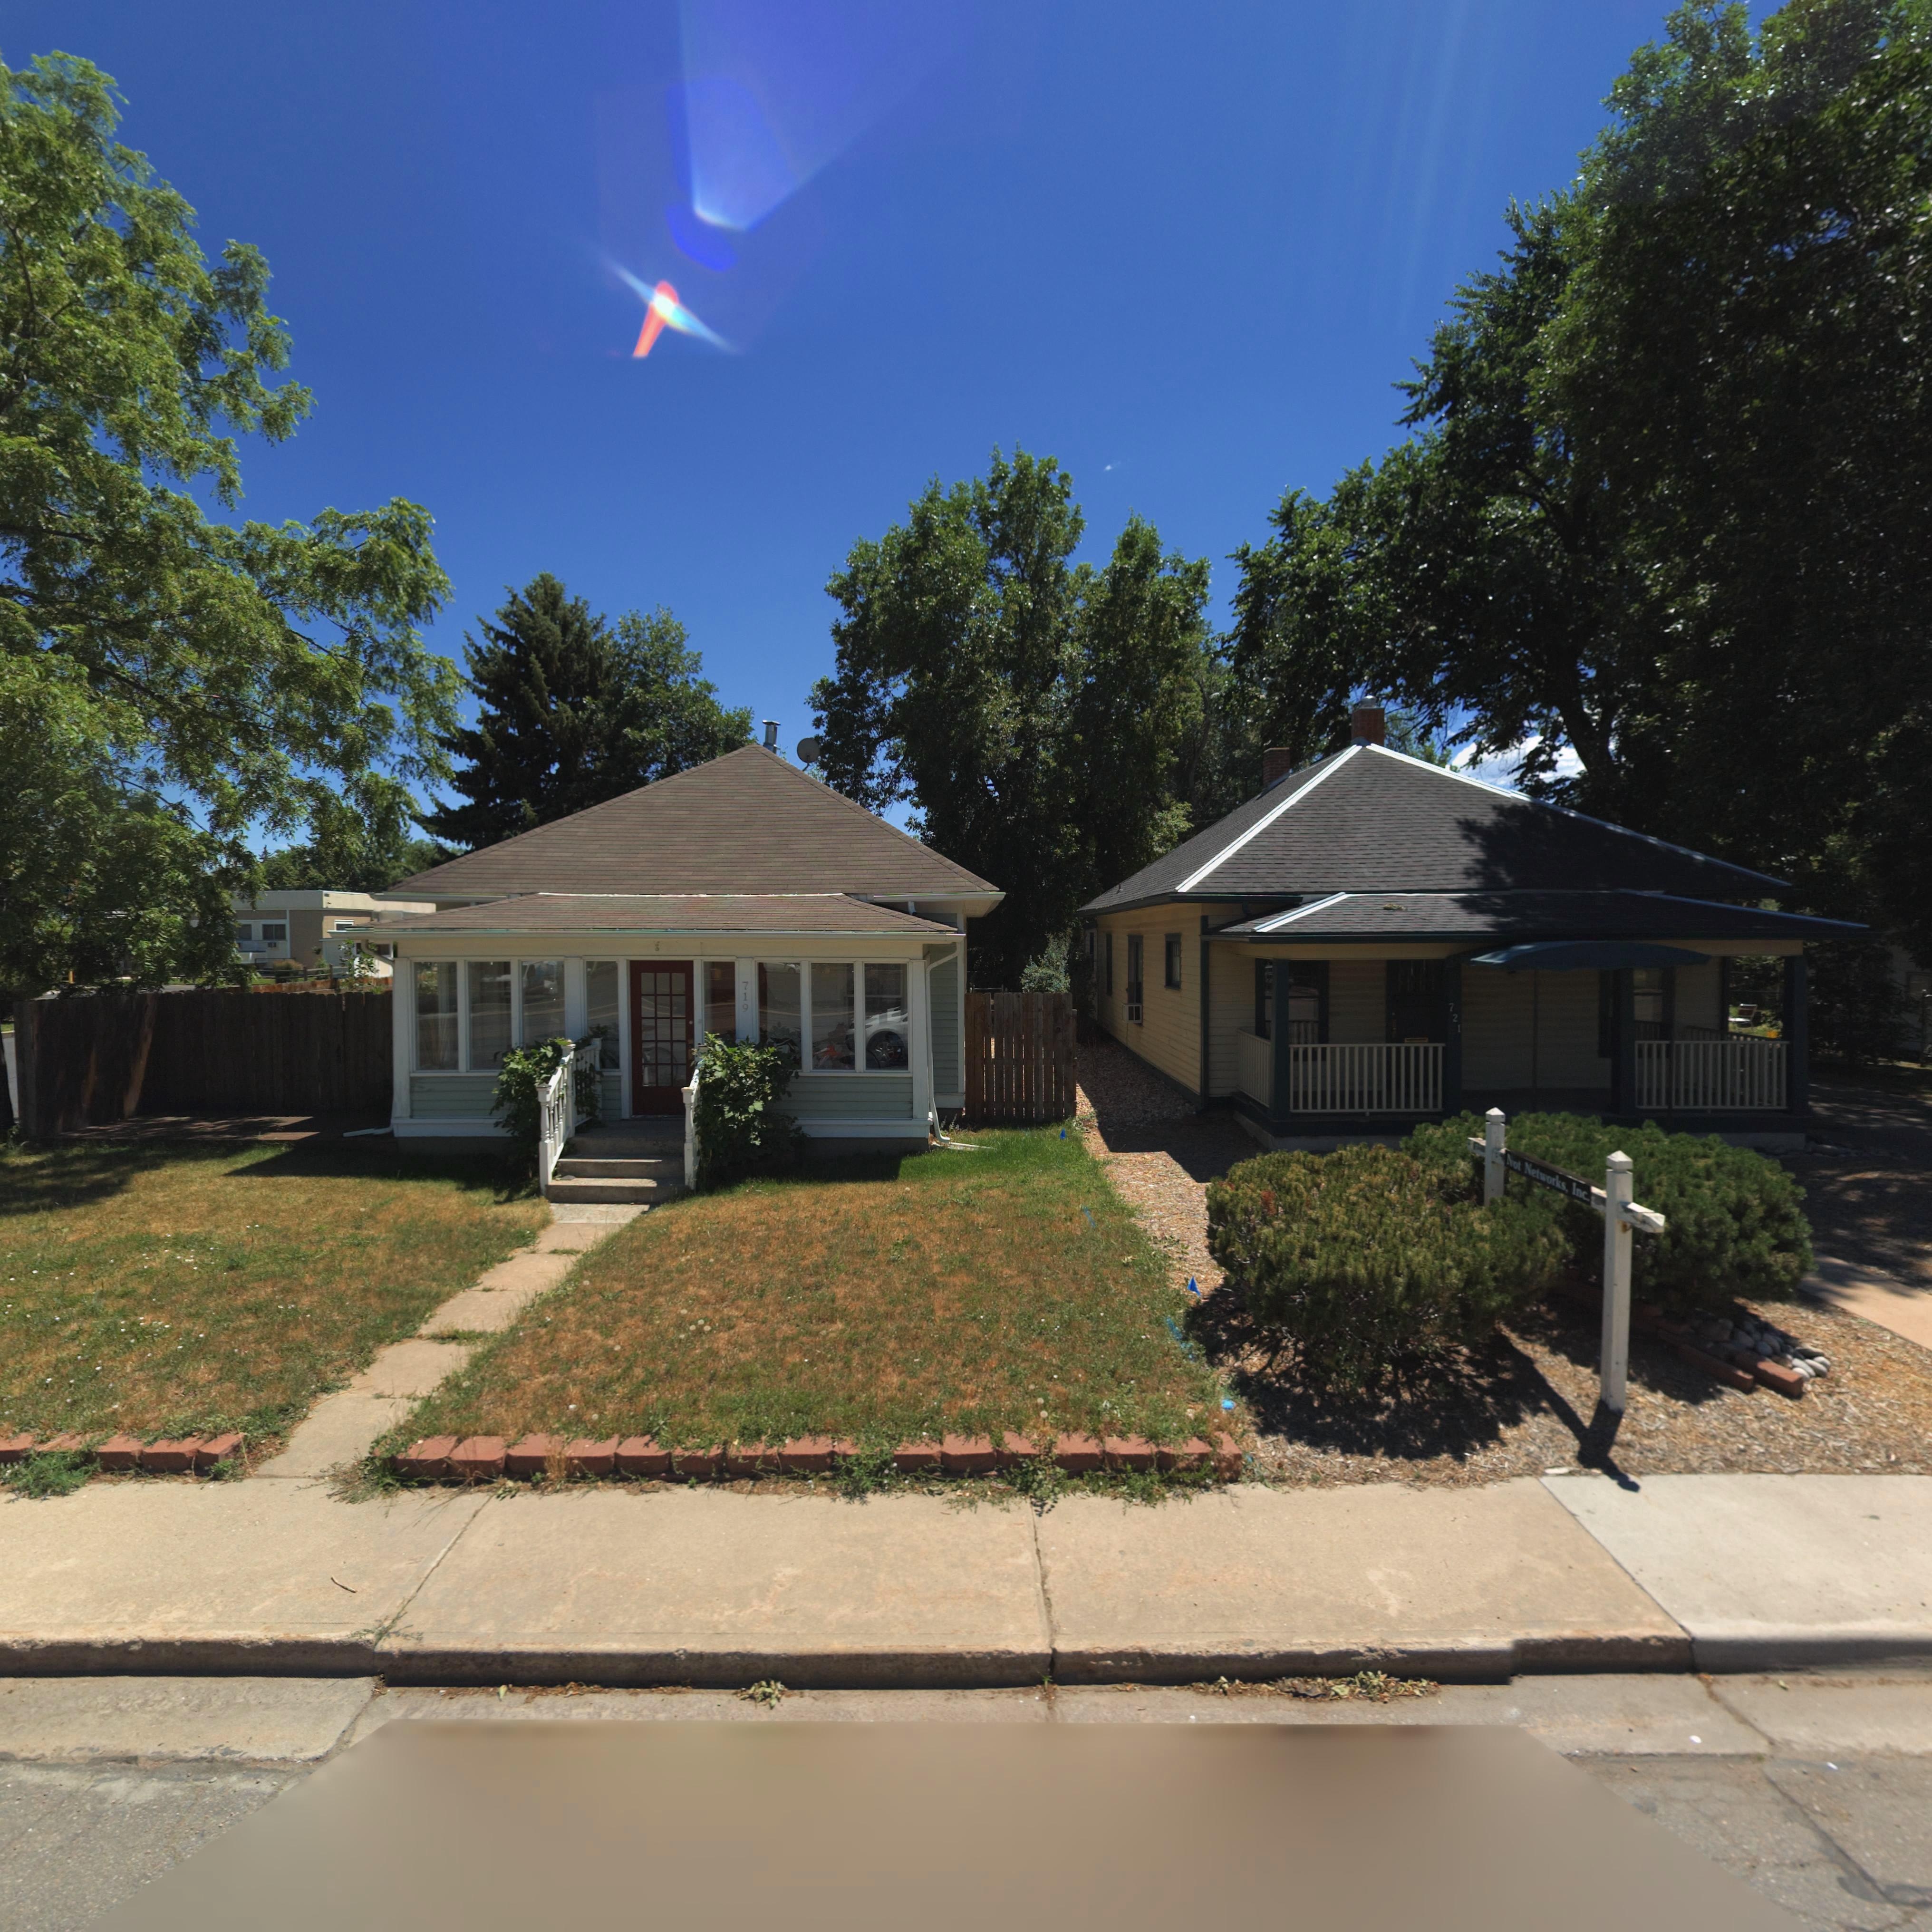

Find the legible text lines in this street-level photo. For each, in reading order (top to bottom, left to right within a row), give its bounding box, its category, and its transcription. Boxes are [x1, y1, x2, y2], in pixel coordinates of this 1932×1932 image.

[742, 981, 749, 1013] StreetNumber: 719
[1448, 1002, 1462, 1033] StreetNumber: 721
[1505, 1152, 1591, 1202] BusinessName: *ot Networks, Inc.